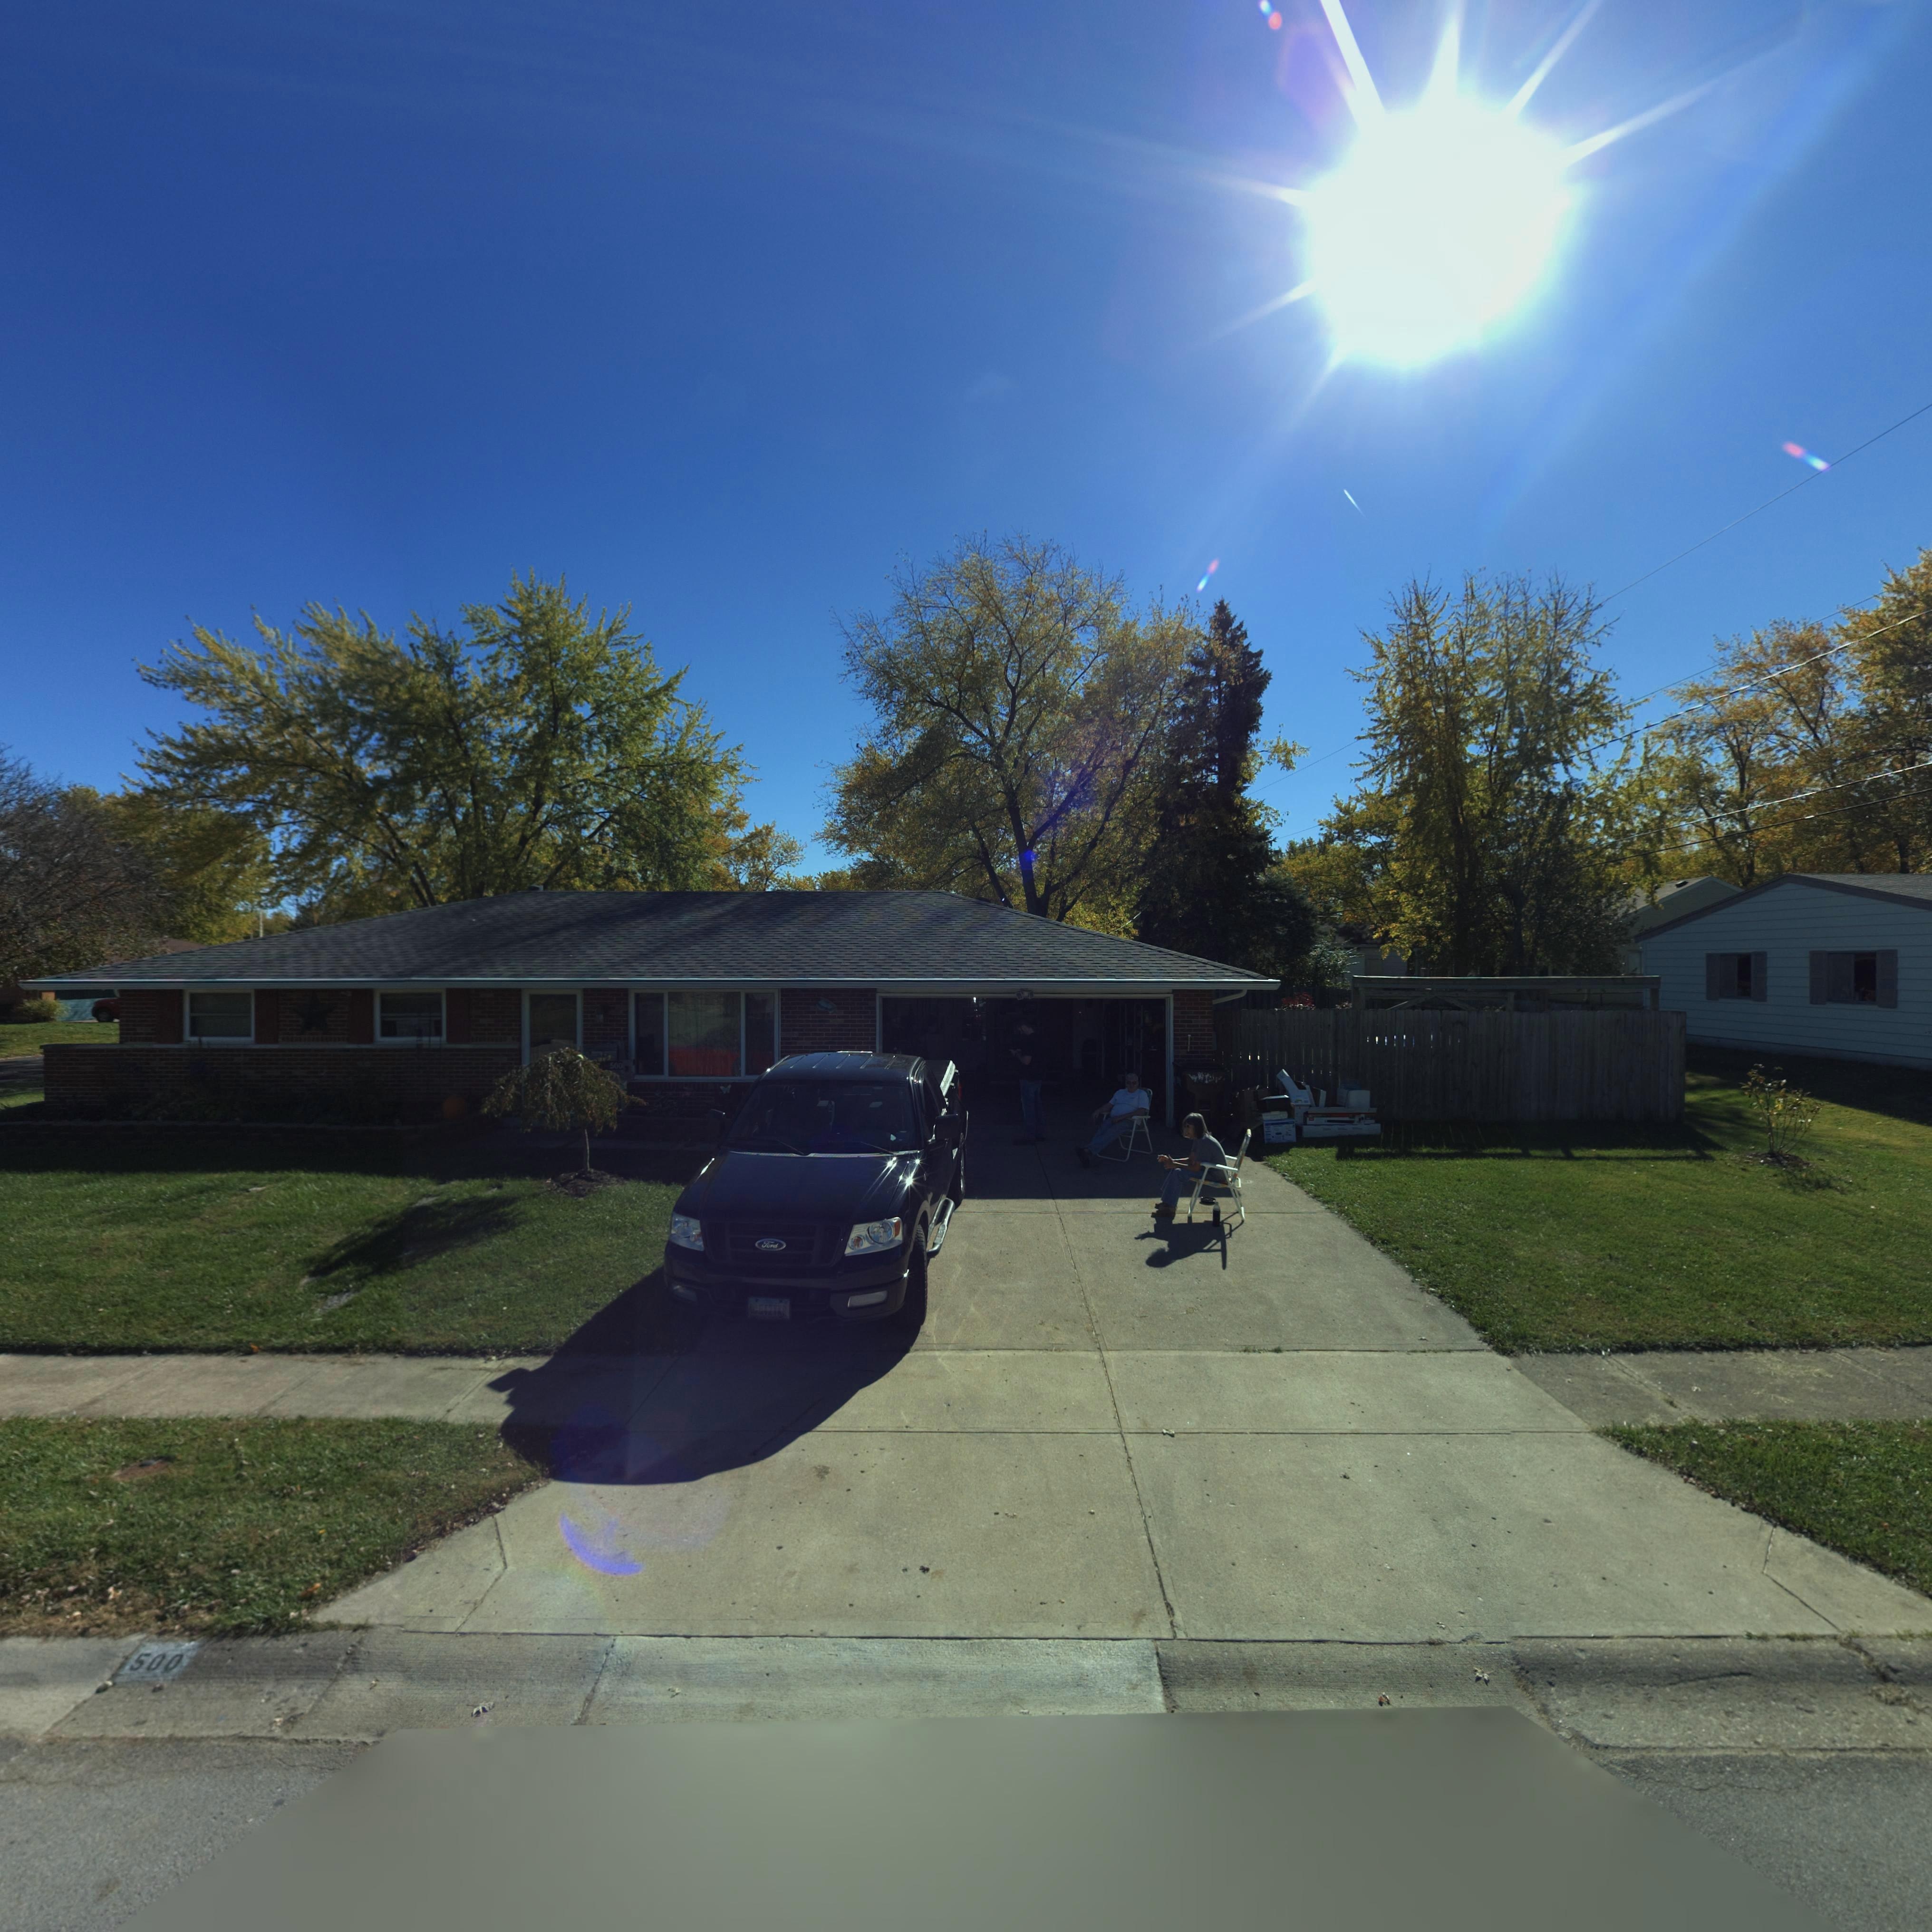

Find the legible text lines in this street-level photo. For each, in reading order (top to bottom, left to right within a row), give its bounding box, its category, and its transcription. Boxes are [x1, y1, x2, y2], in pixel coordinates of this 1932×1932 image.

[609, 1062, 623, 1070] StreetNumber: 500
[128, 1652, 185, 1674] StreetNumber: 500